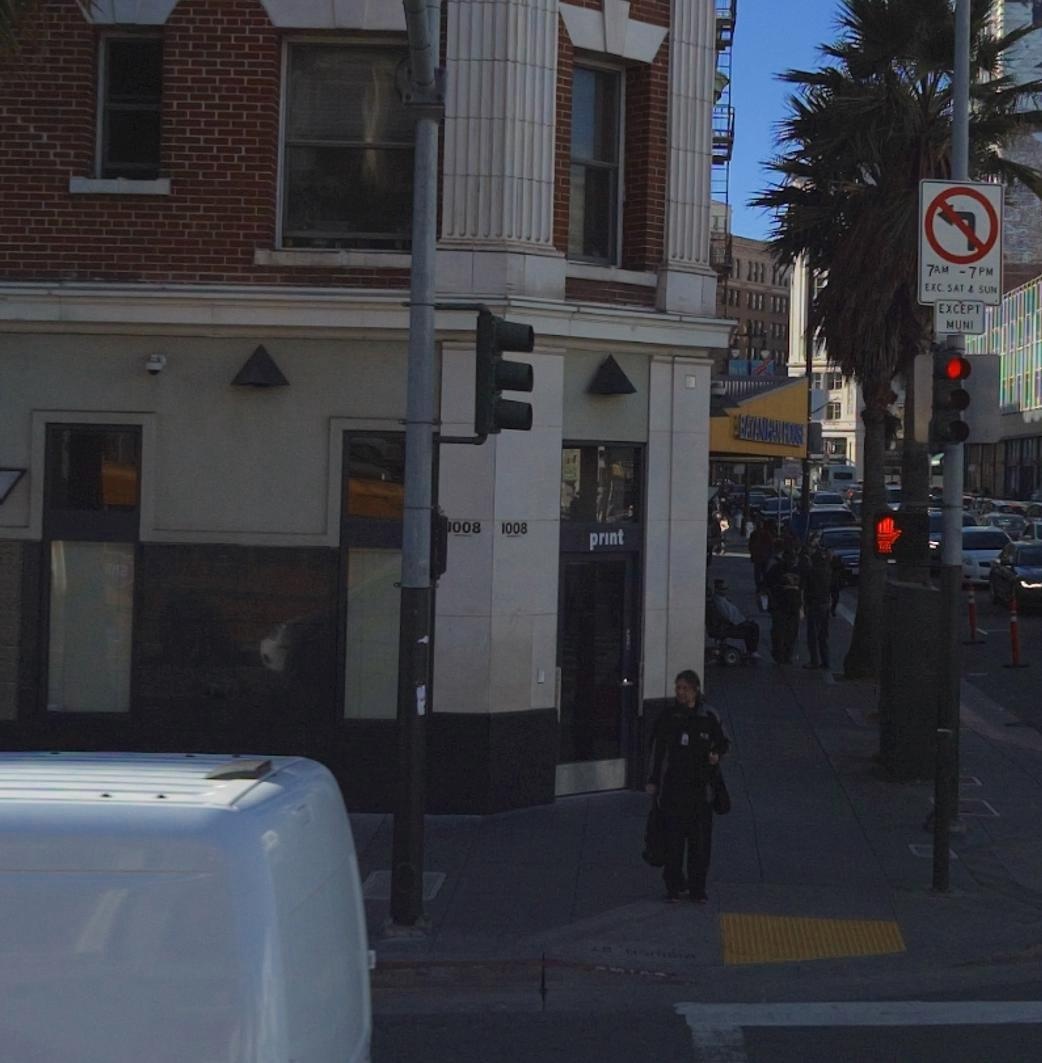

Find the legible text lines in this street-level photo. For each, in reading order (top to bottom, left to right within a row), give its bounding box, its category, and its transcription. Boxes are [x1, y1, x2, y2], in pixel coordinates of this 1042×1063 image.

[925, 263, 994, 280] None: 7AM - 7PM
[924, 282, 999, 295] None: EXC. SAT & SUN
[937, 302, 982, 315] None: EXCEPT
[945, 318, 974, 331] None: MUNI
[446, 520, 482, 535] StreetNumber: 1008
[501, 522, 528, 535] StreetNumber: 1008
[588, 528, 625, 552] BusinessName: print